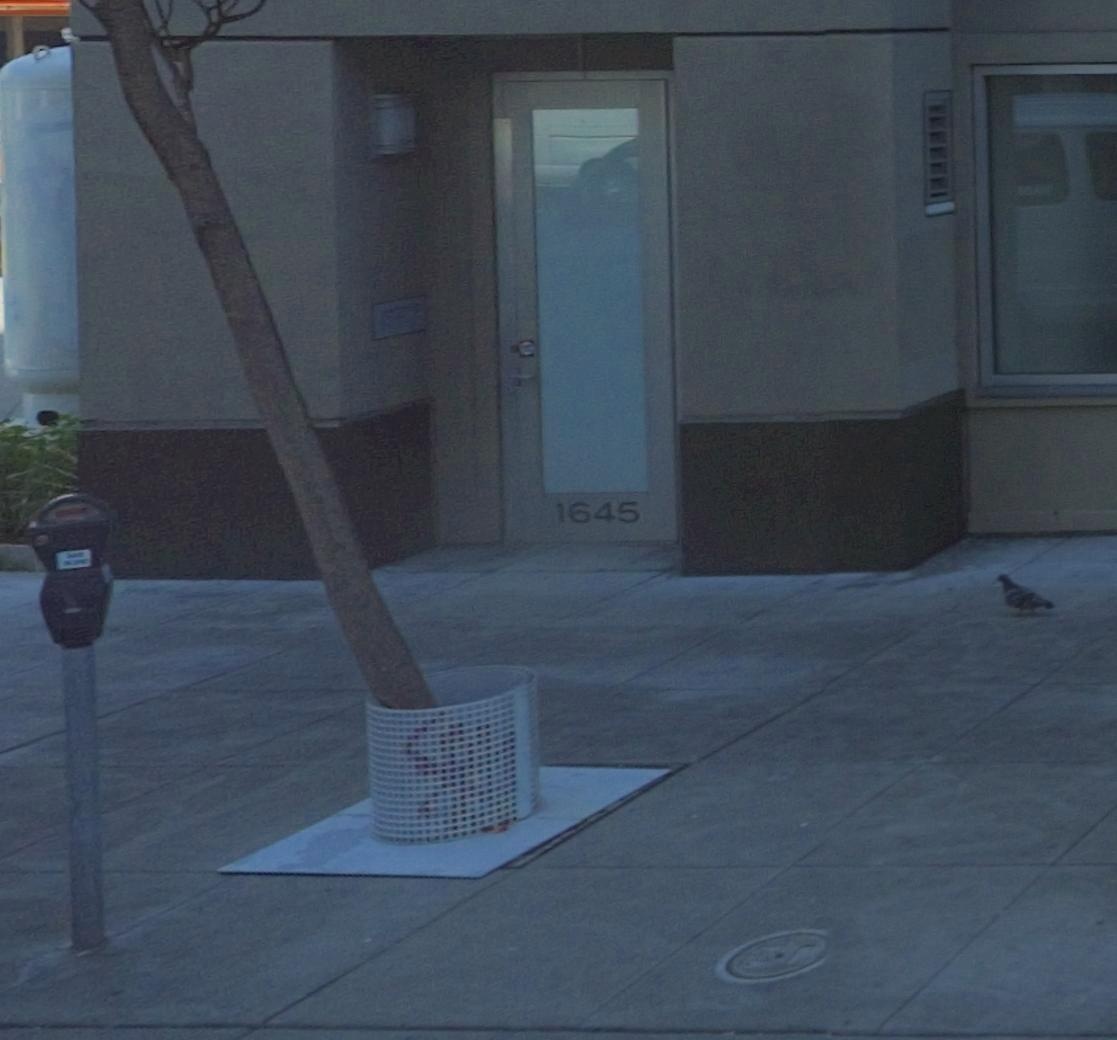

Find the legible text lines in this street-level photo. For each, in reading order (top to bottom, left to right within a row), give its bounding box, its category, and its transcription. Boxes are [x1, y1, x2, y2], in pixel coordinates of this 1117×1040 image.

[555, 500, 640, 524] StreetNumber: 1645